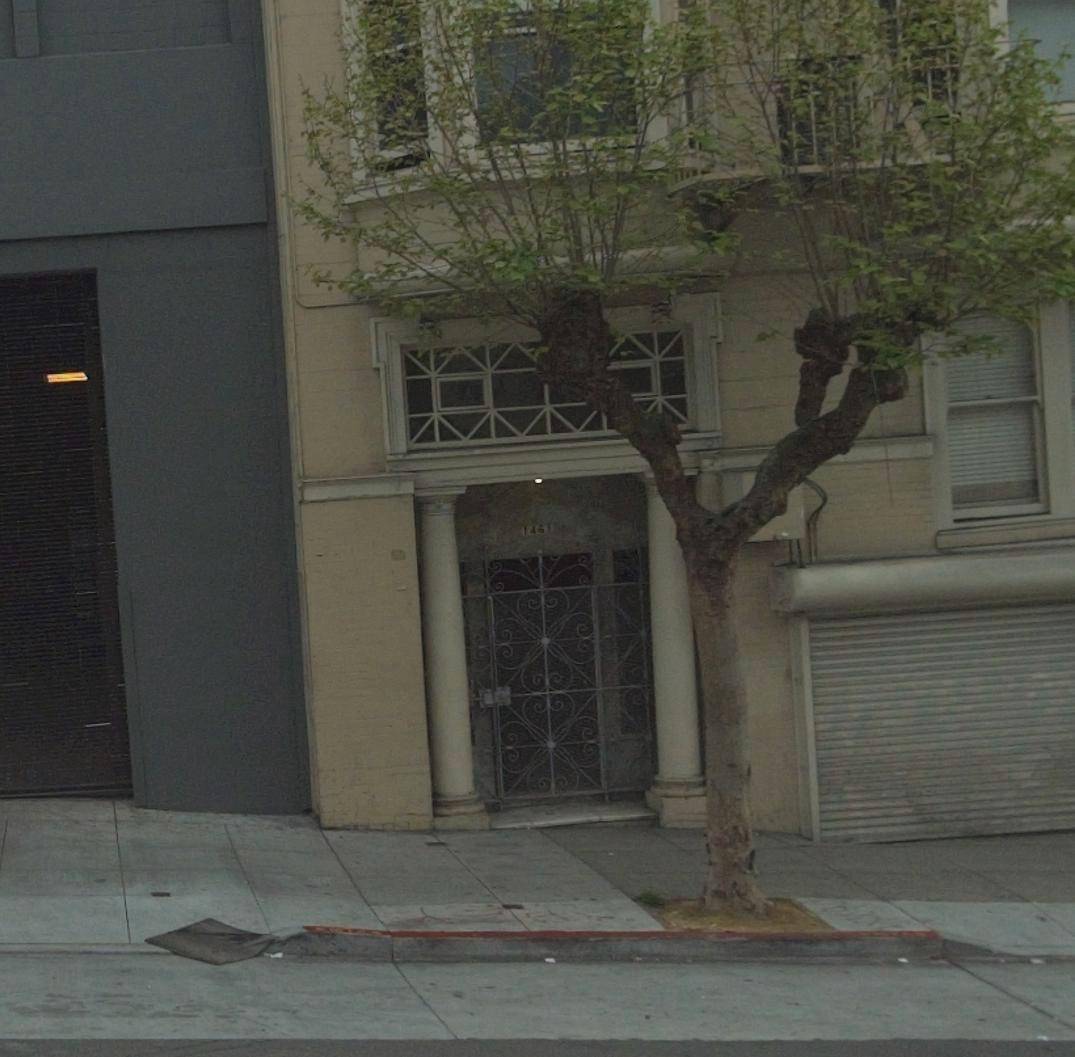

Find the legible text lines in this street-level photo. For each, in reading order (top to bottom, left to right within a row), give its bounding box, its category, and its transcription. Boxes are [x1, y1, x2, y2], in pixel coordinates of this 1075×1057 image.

[522, 523, 553, 537] StreetNumber: 1461